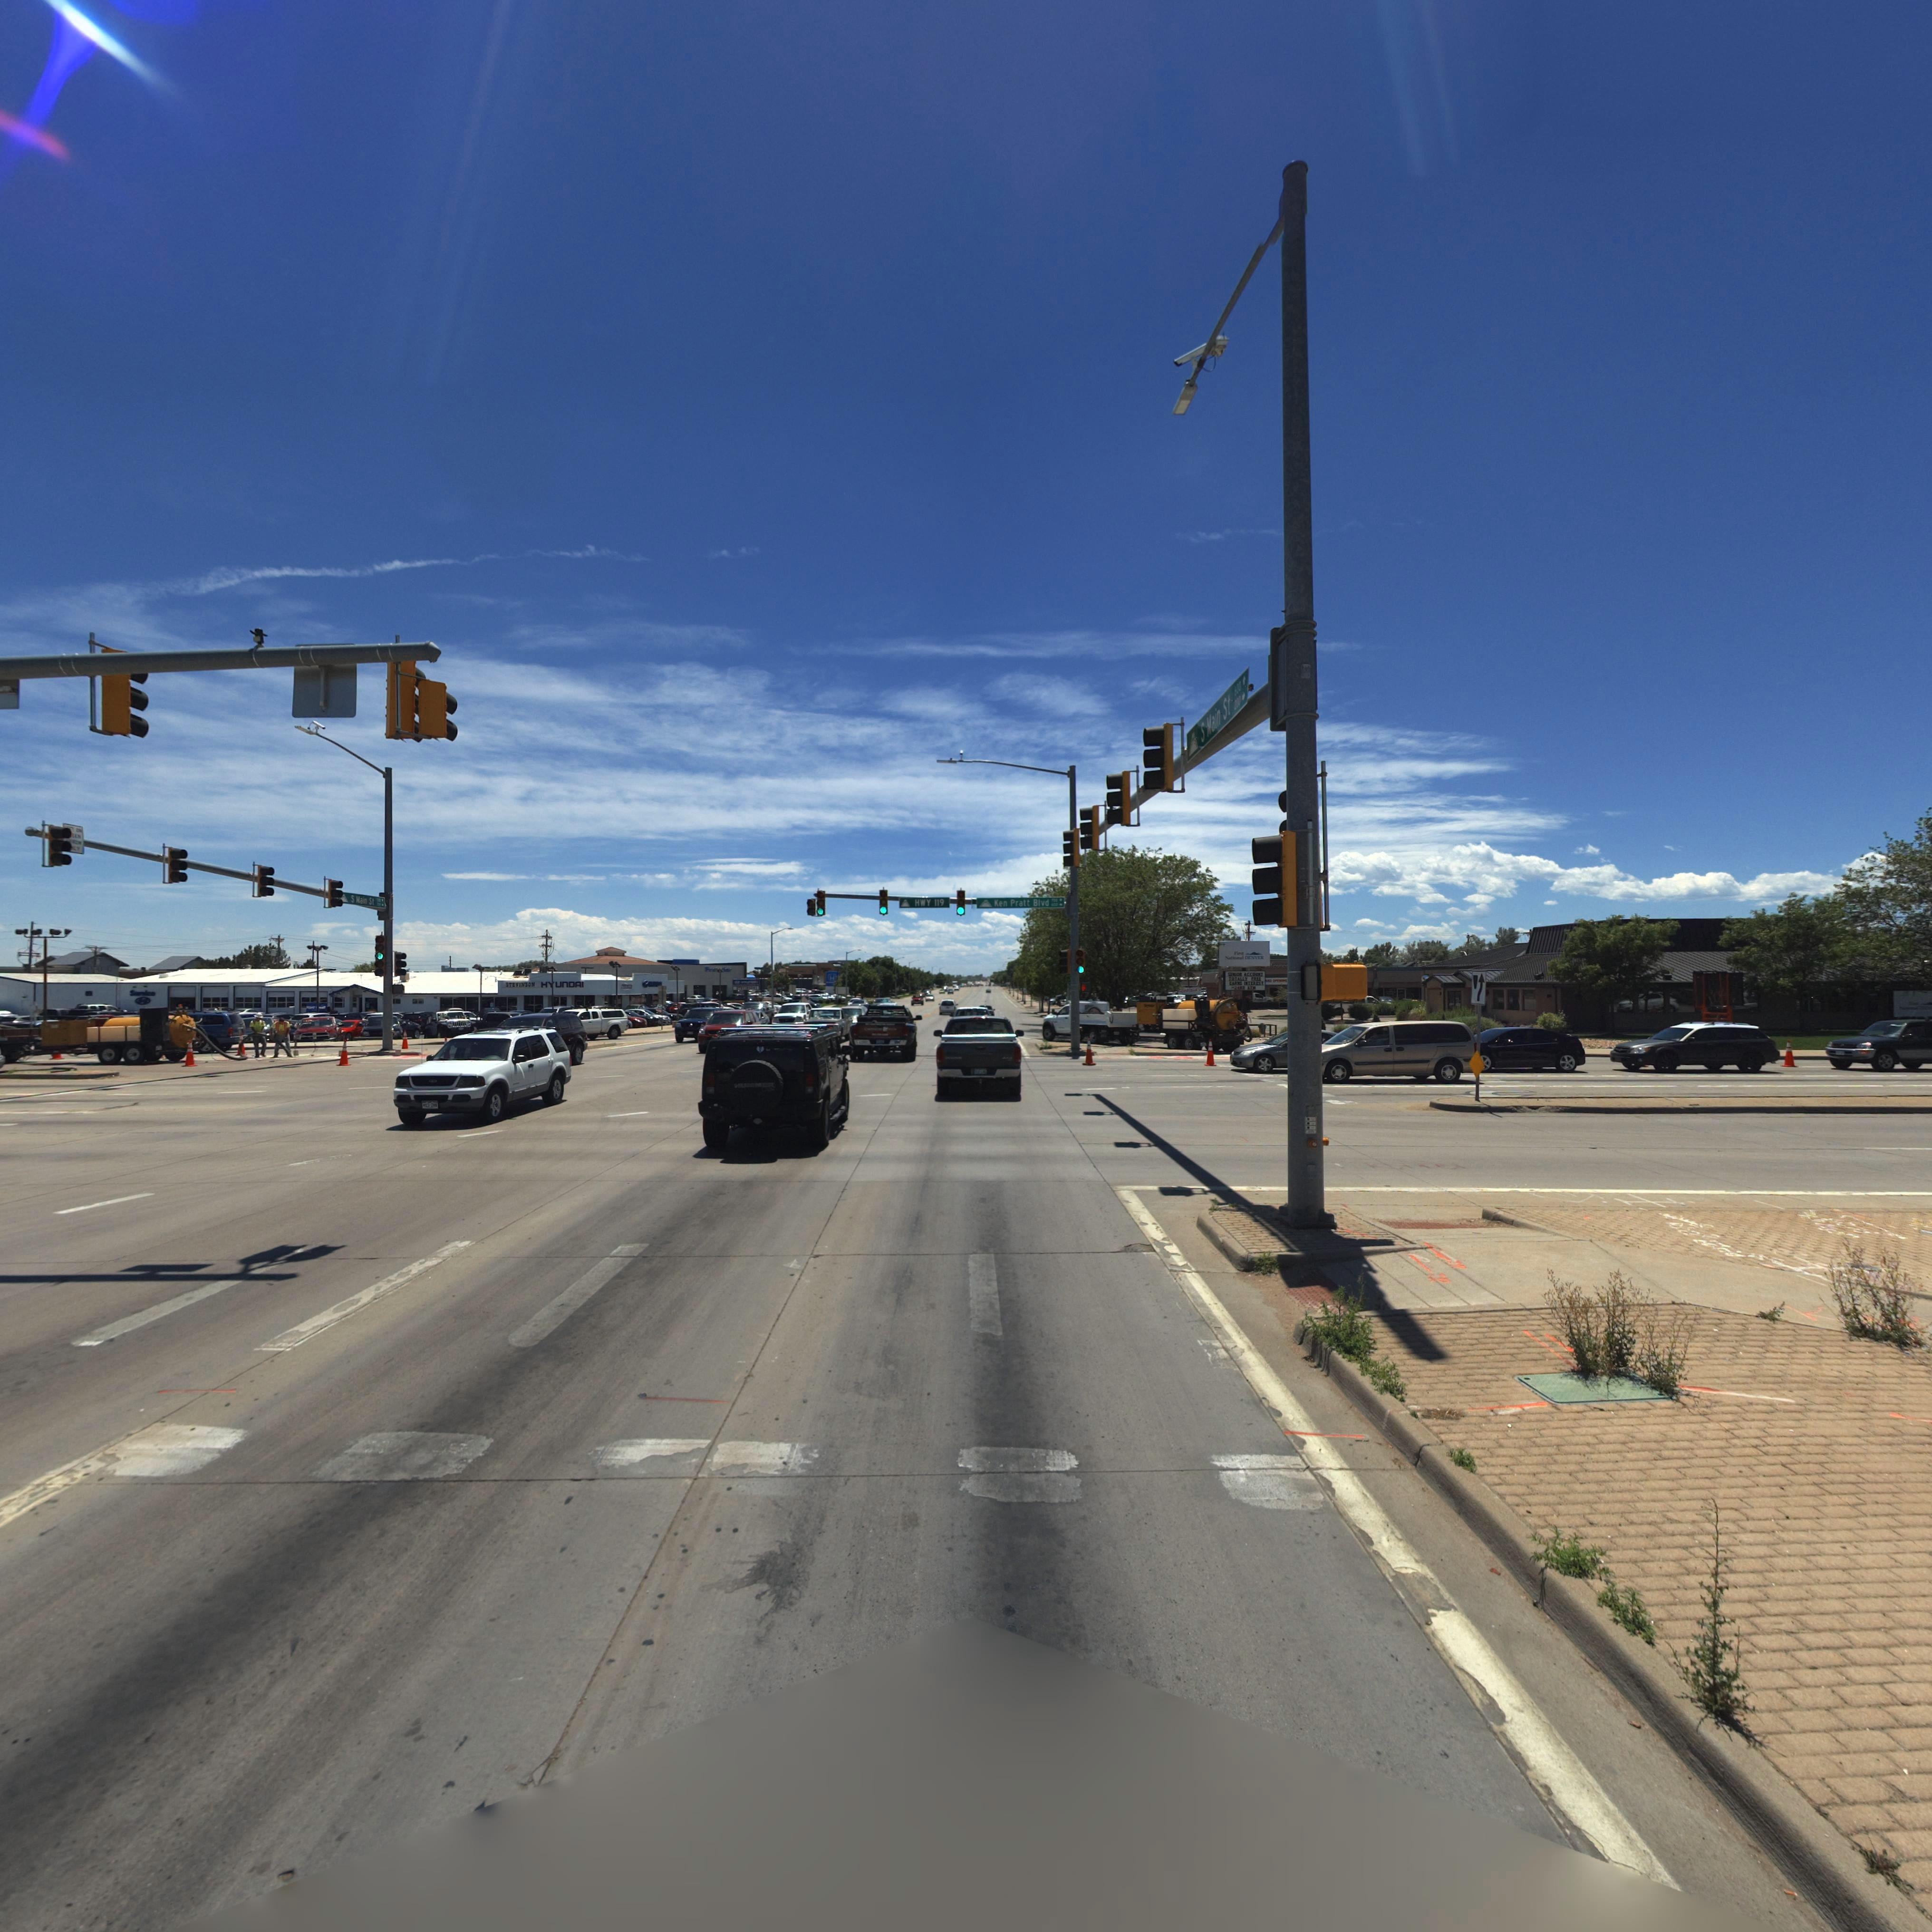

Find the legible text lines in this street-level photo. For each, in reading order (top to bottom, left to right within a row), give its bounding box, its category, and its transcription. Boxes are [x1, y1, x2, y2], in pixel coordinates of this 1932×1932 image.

[1233, 681, 1241, 696] StreetNumberRange: 600
[1232, 692, 1246, 711] StreetNumberRange: 200->
[1200, 694, 1231, 743] StreetName: S Main St
[350, 894, 375, 906] StreetName: S Main St
[914, 898, 944, 907] StreetName: HWY 119
[994, 898, 1049, 907] StreetName: Ken Pratt Blvd
[1051, 902, 1058, 906] StreetNumberRange: 600
[1234, 951, 1243, 955] BusinessName: Fir*t
[1225, 955, 1244, 960] BusinessName: Nat**al
[1245, 955, 1264, 959] BusinessName: DENVER
[704, 966, 732, 972] BusinessName: Fro***er
[505, 982, 535, 987] BusinessName: STEVINSON
[541, 981, 584, 988] BusinessName: HYUnDAI
[740, 980, 758, 984] BusinessName: HYUnDA*